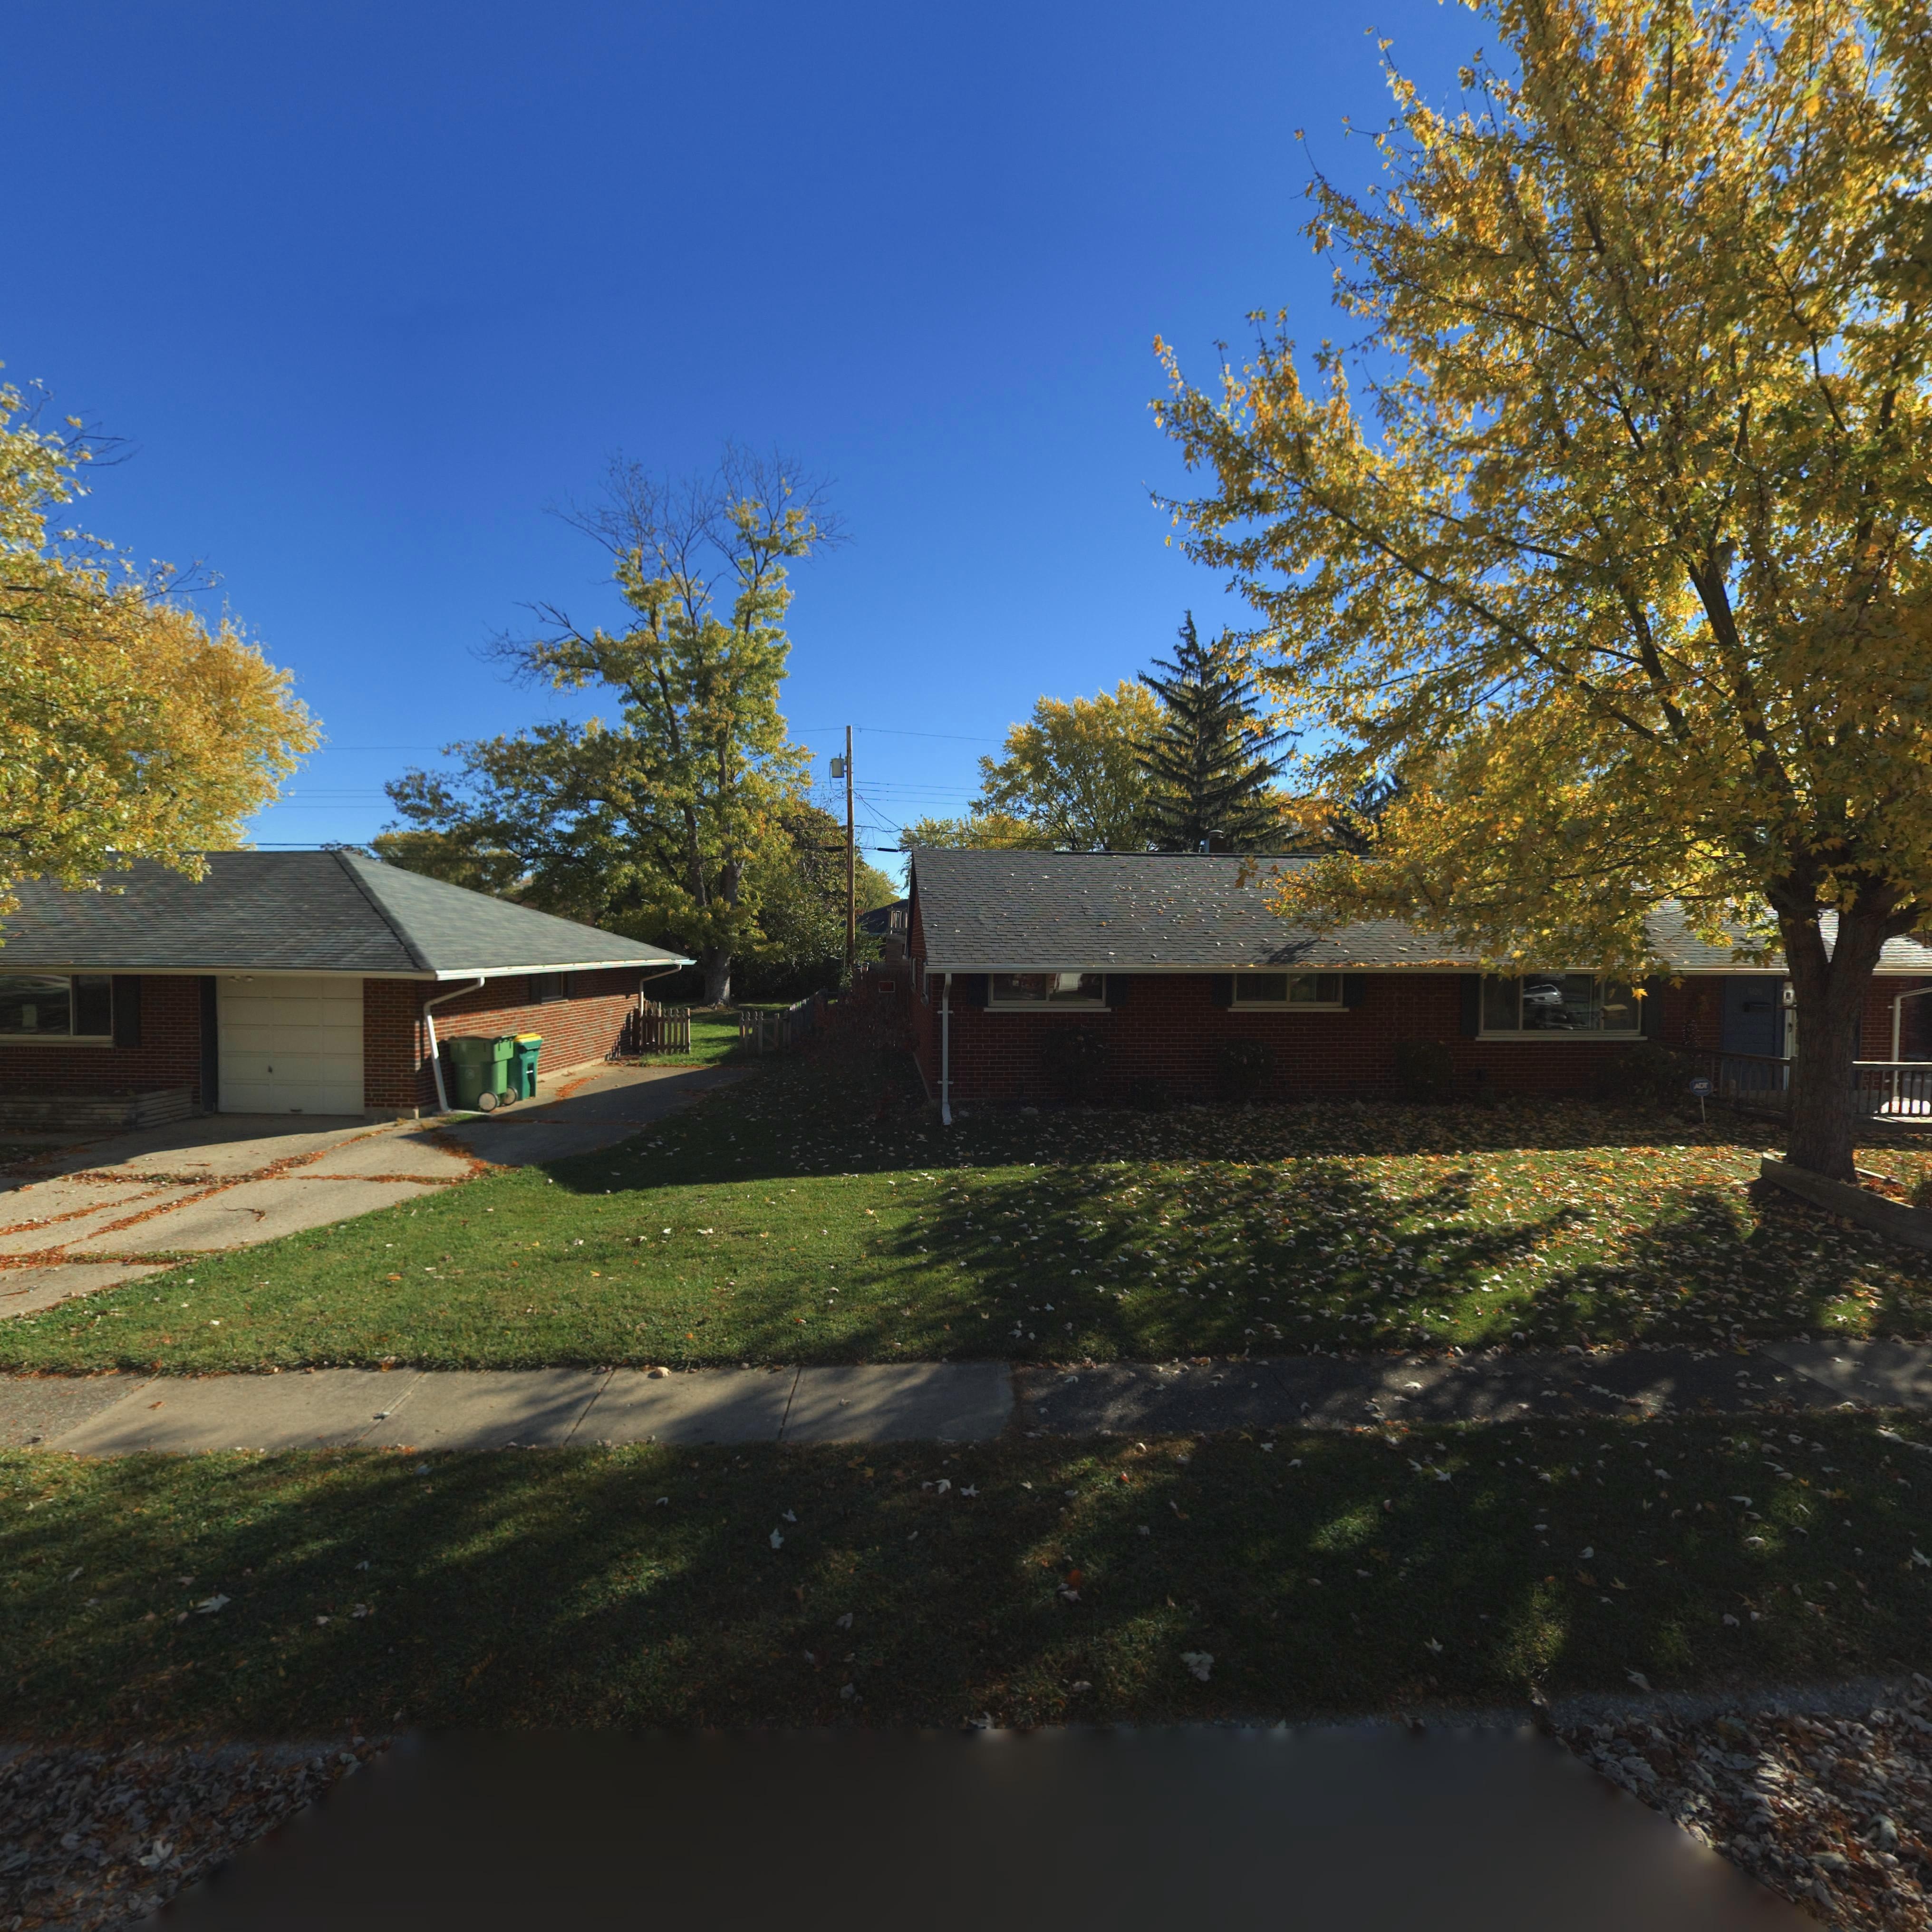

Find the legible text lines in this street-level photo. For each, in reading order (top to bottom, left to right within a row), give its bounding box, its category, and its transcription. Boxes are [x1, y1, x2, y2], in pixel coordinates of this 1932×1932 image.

[1747, 986, 1764, 995] StreetNumber: 5120